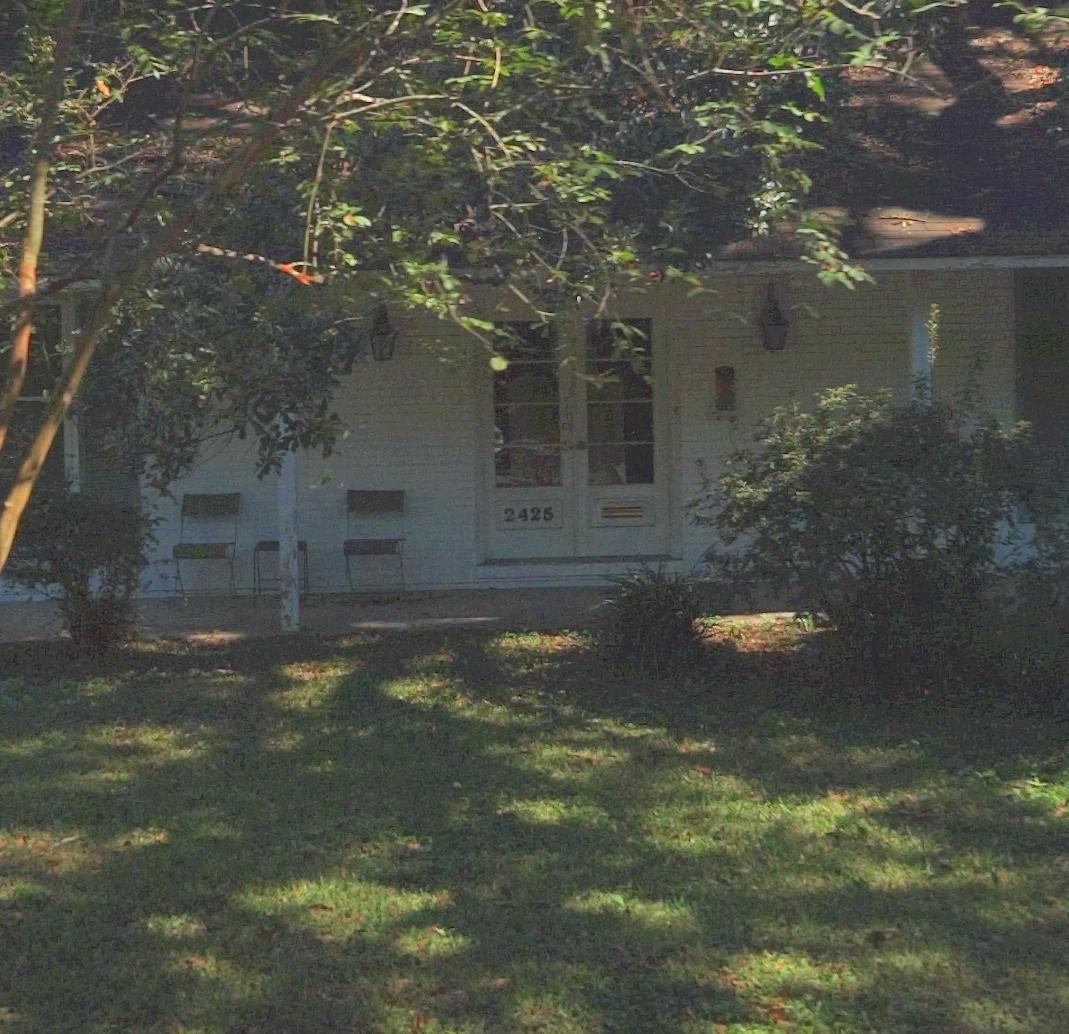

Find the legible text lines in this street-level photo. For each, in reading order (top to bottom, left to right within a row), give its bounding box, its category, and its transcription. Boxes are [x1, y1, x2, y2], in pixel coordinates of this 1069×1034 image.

[502, 504, 556, 524] StreetNumber: 2425